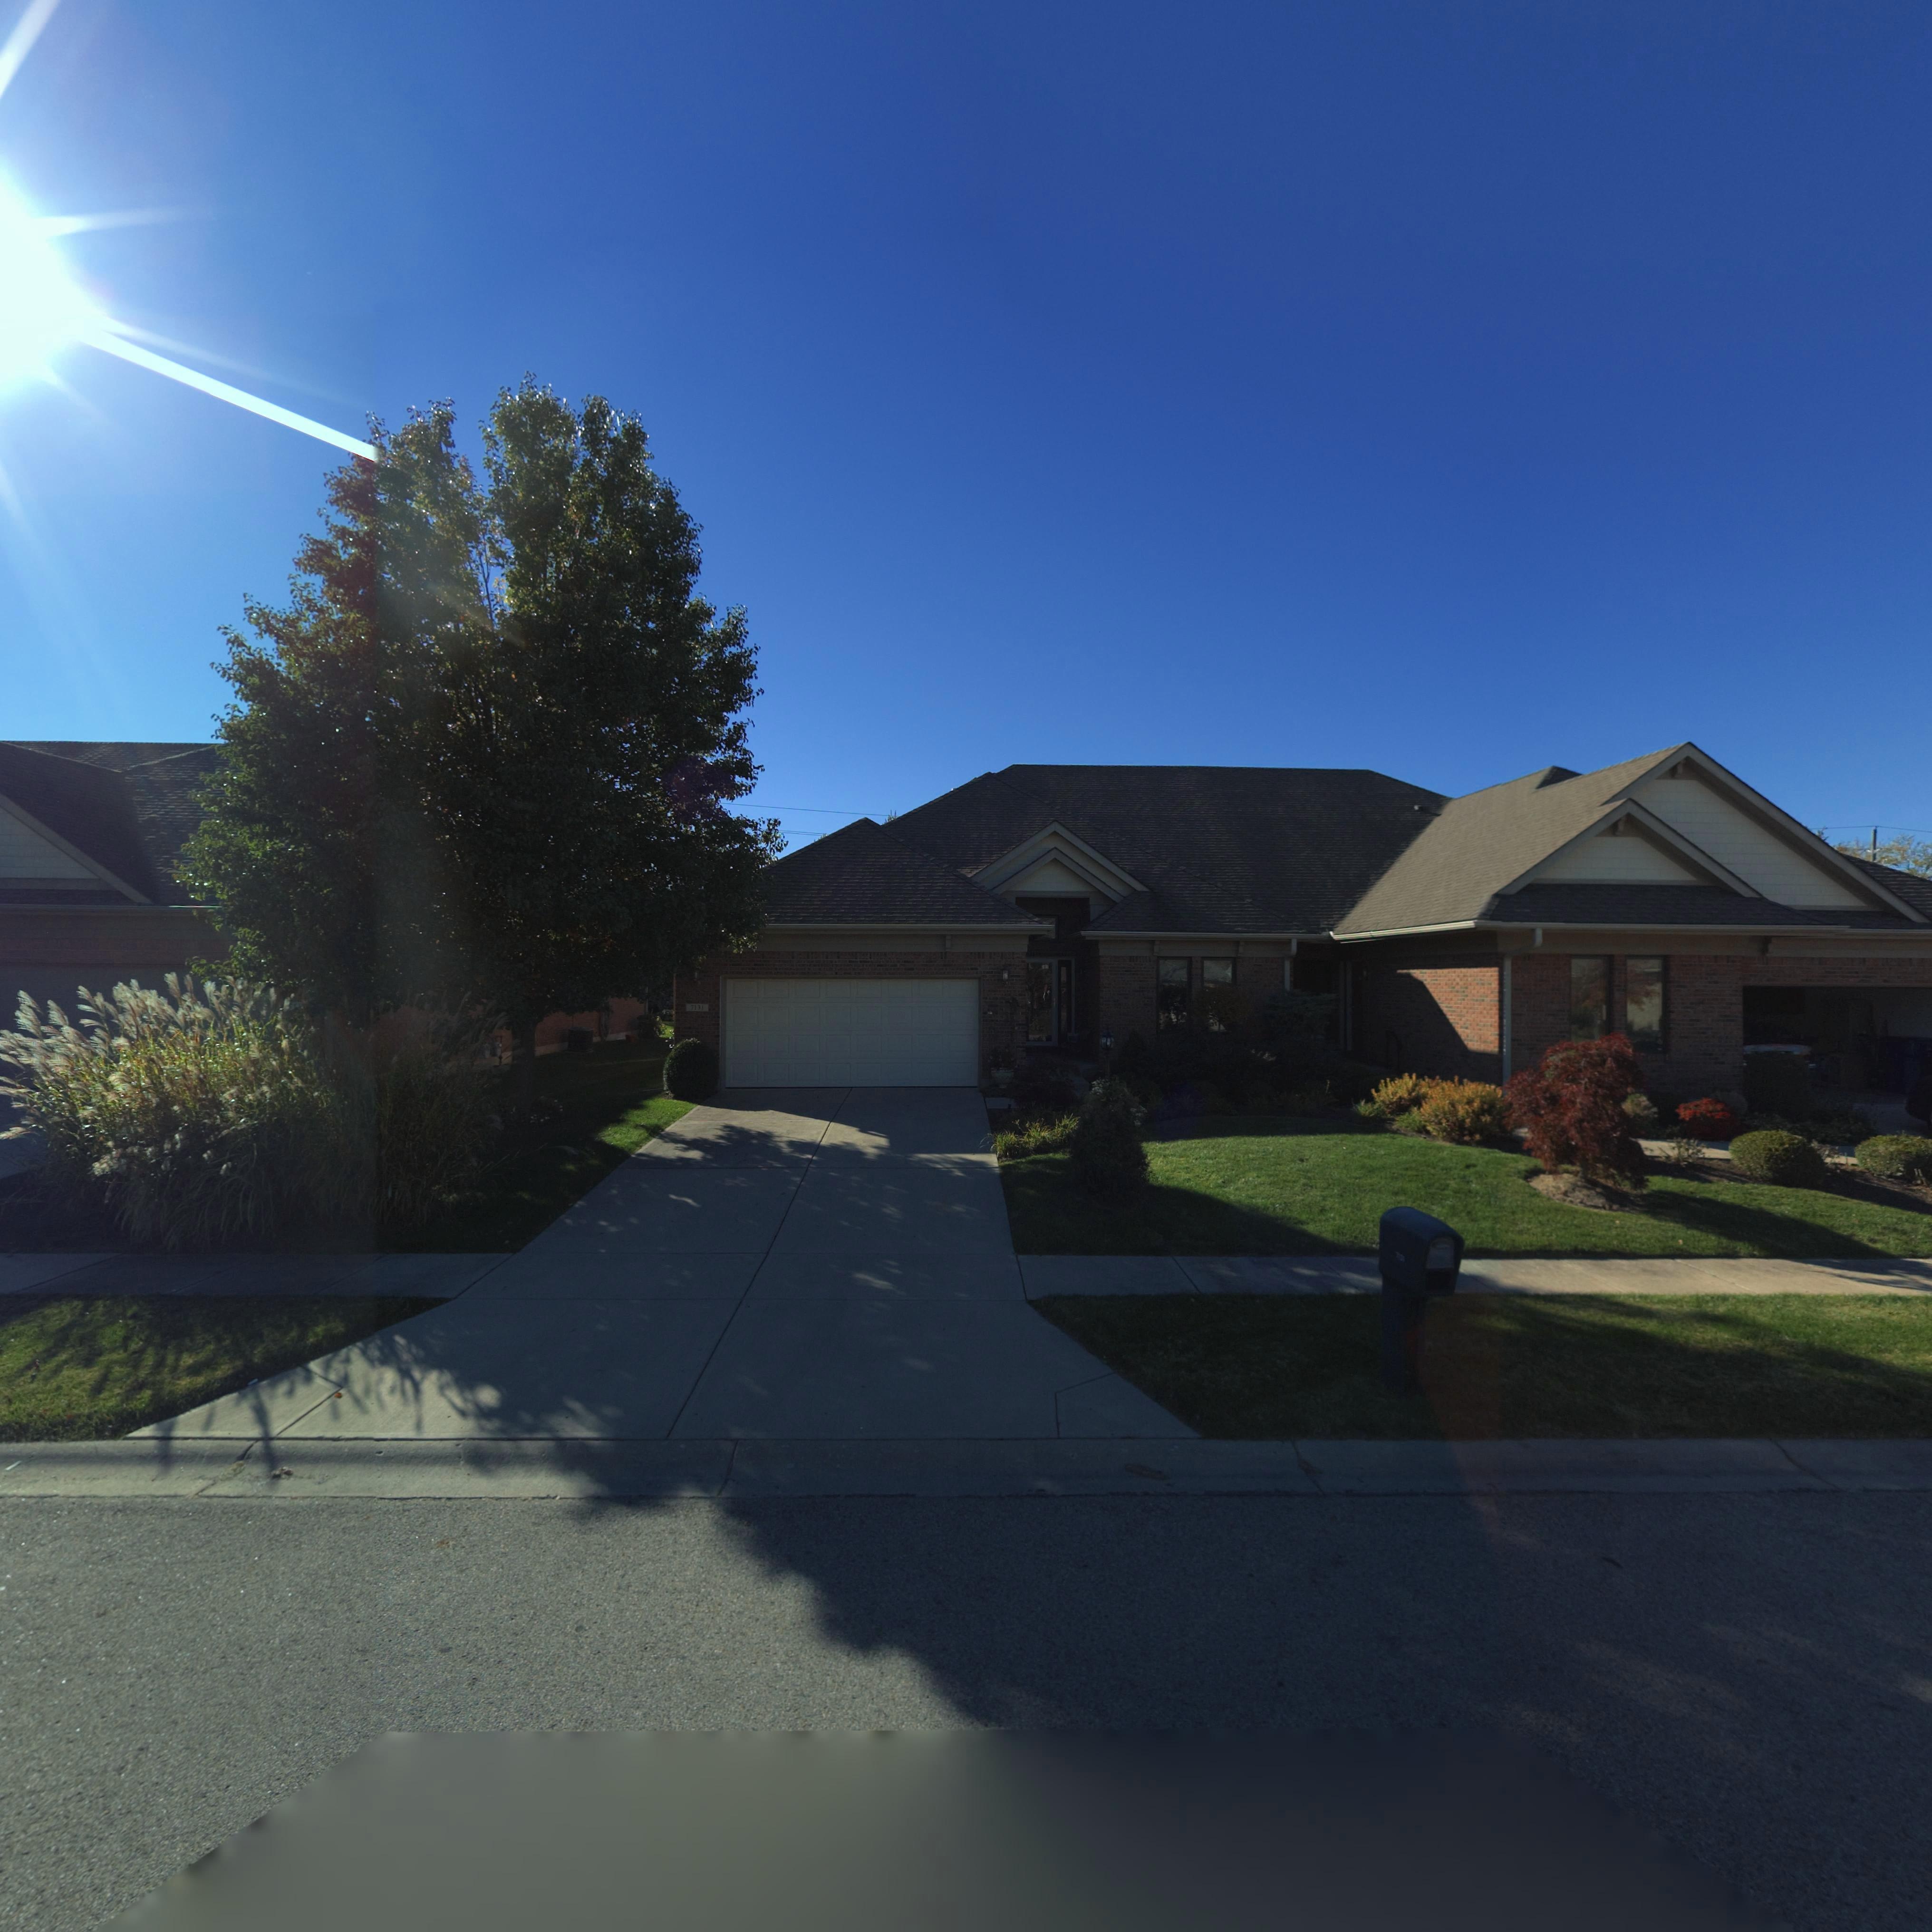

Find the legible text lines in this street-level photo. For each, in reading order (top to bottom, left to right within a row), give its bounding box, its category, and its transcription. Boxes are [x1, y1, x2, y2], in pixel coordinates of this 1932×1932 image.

[690, 1005, 704, 1010] StreetNumber: 7131
[1395, 1250, 1406, 1263] StreetNumber: 7*31